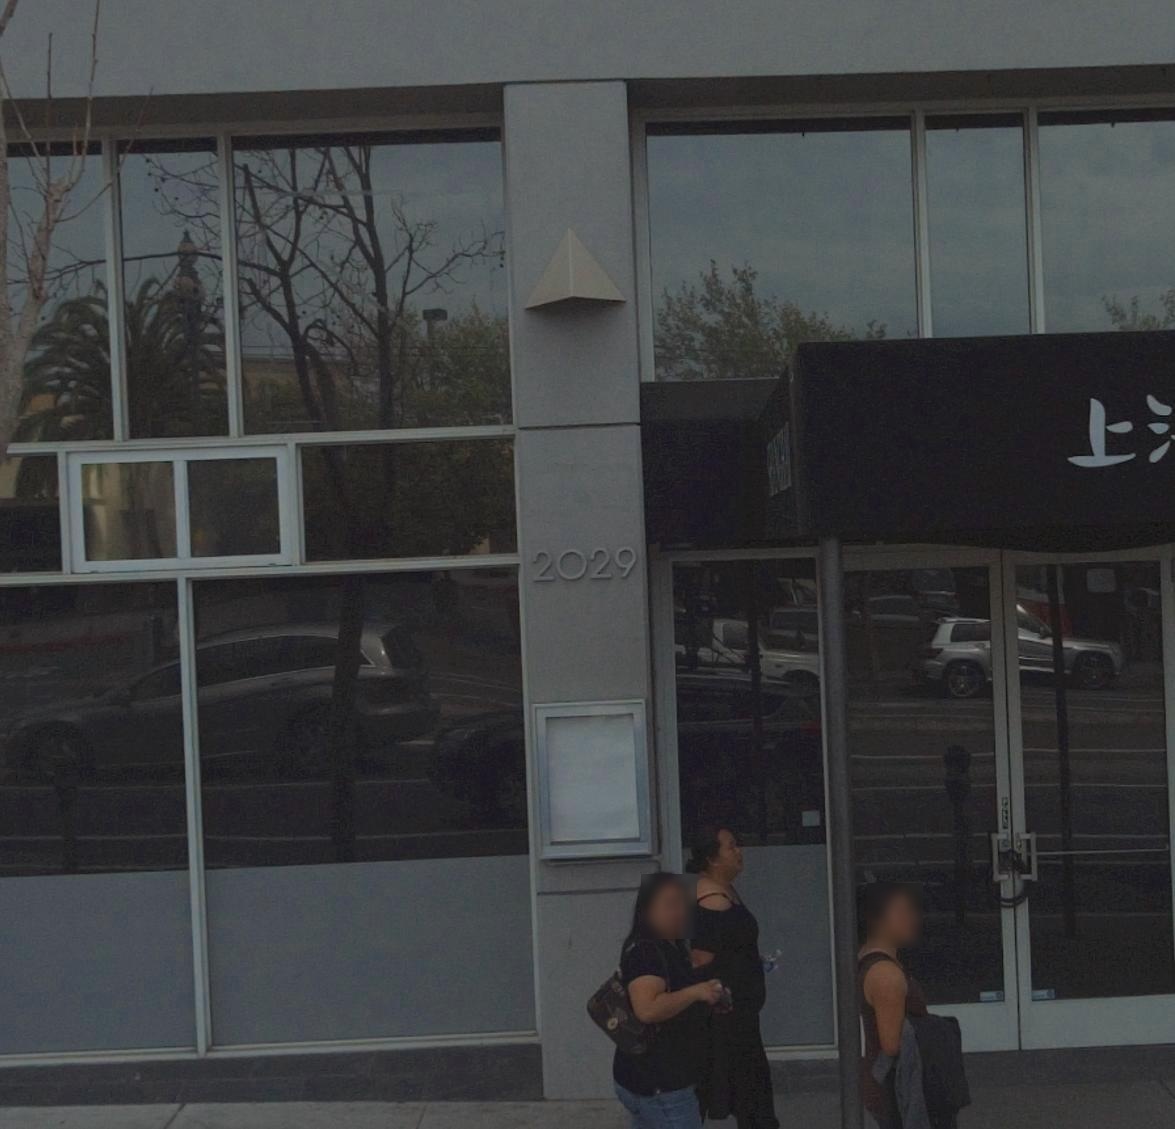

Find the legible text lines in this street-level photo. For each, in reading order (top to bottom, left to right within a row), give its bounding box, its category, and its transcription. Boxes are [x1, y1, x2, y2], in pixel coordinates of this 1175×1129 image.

[528, 544, 642, 585] StreetNumber: 2029